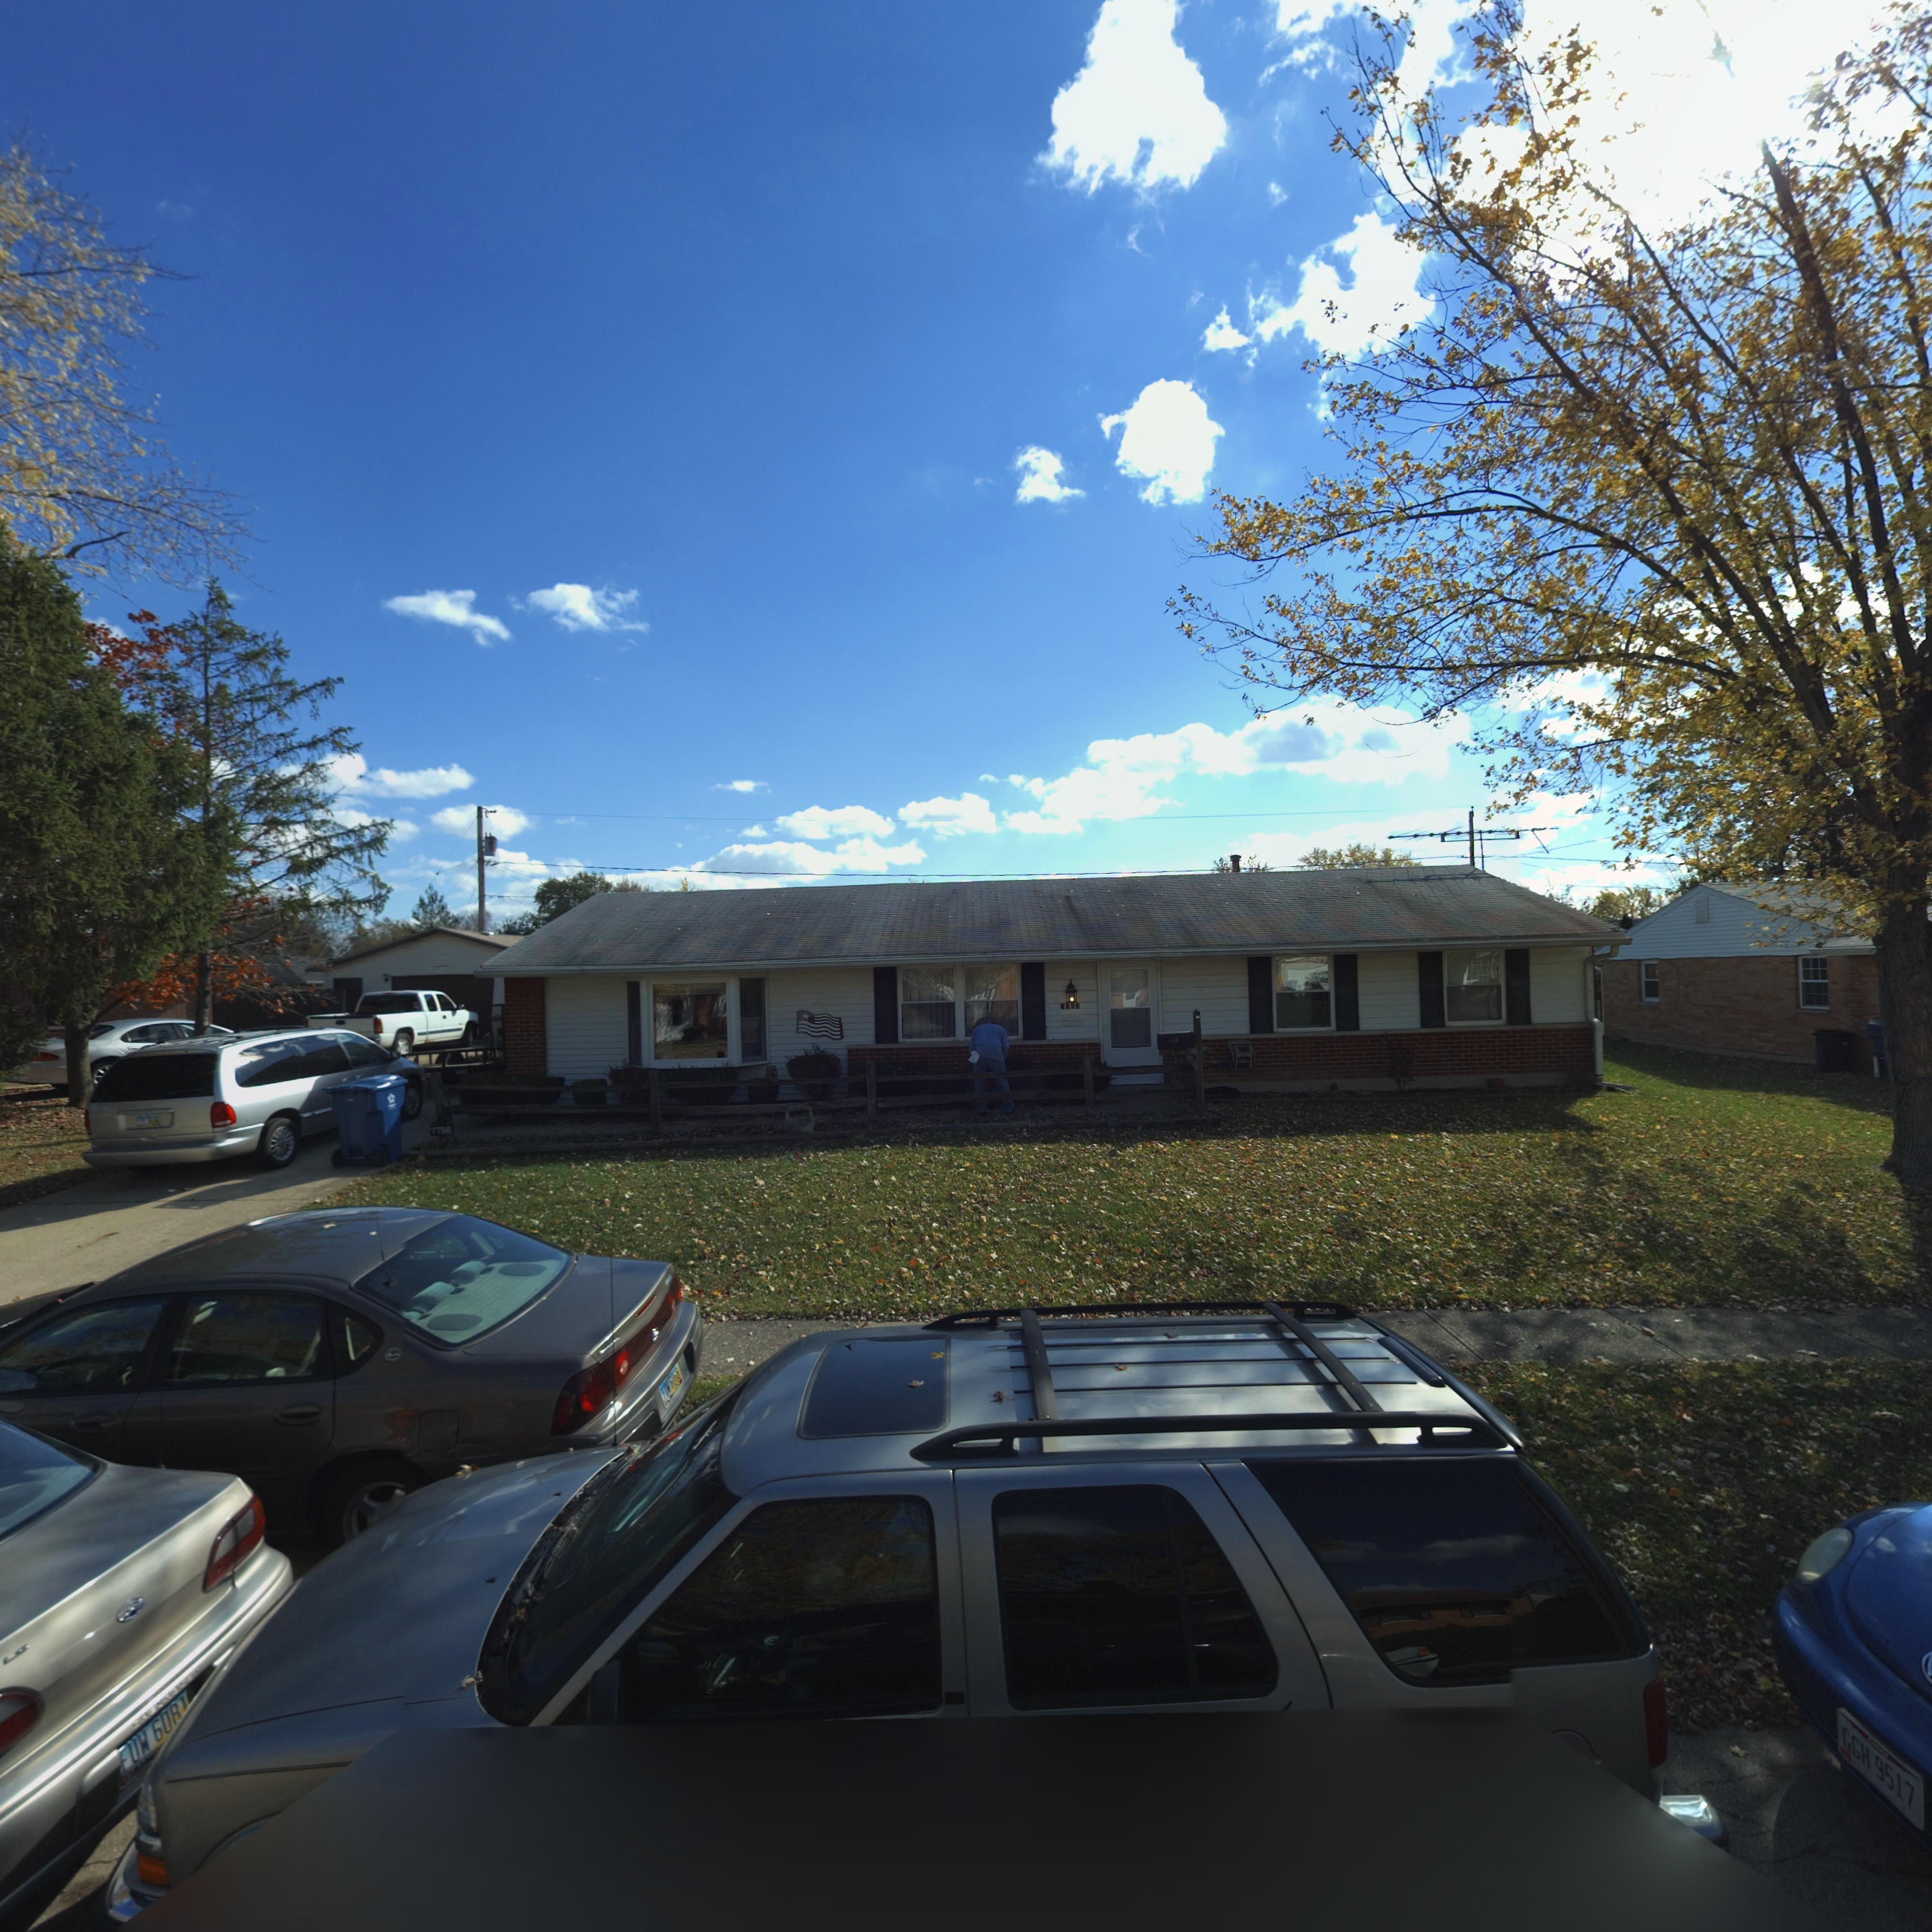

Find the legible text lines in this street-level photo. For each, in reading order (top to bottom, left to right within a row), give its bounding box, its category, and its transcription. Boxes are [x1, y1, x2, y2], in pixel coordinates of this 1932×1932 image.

[1060, 1003, 1080, 1010] StreetNumber: 7786